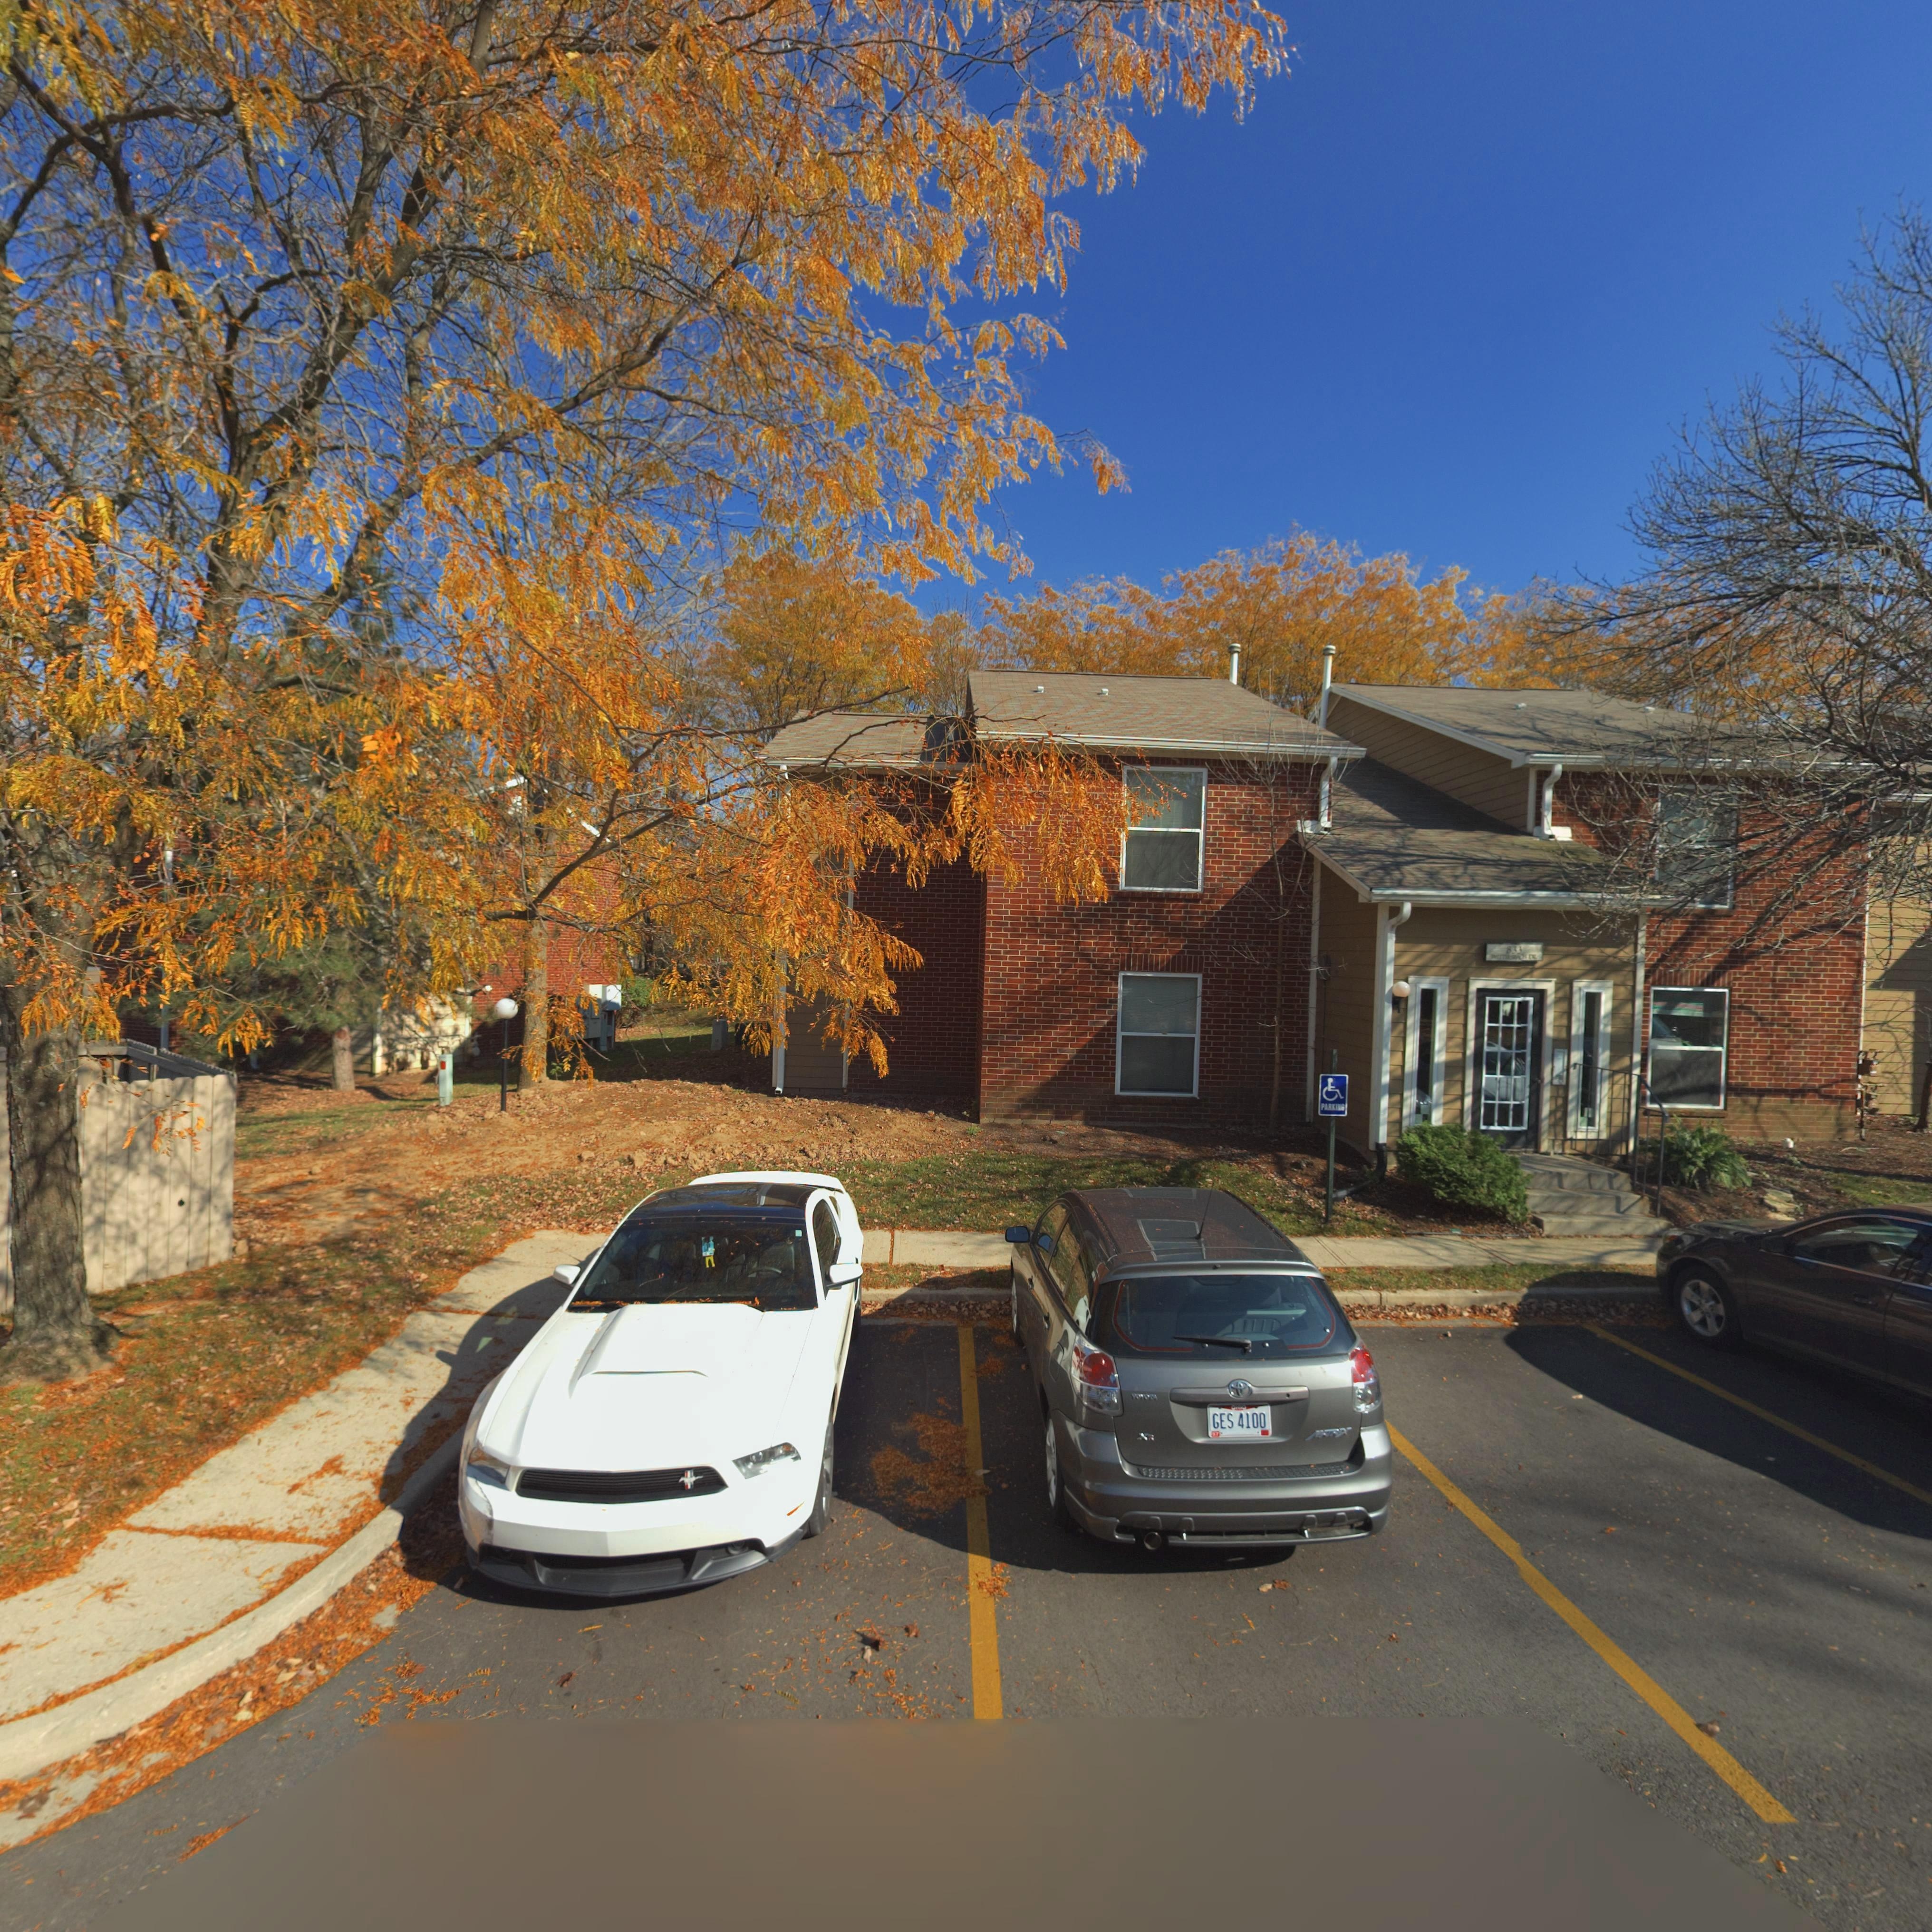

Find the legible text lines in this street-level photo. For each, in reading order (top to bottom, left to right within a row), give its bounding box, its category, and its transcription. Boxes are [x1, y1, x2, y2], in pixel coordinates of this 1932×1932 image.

[1503, 944, 1524, 956] StreetNumber: 833
[1320, 1101, 1346, 1112] None: PARKING
[1211, 1410, 1267, 1431] None: GES 4100